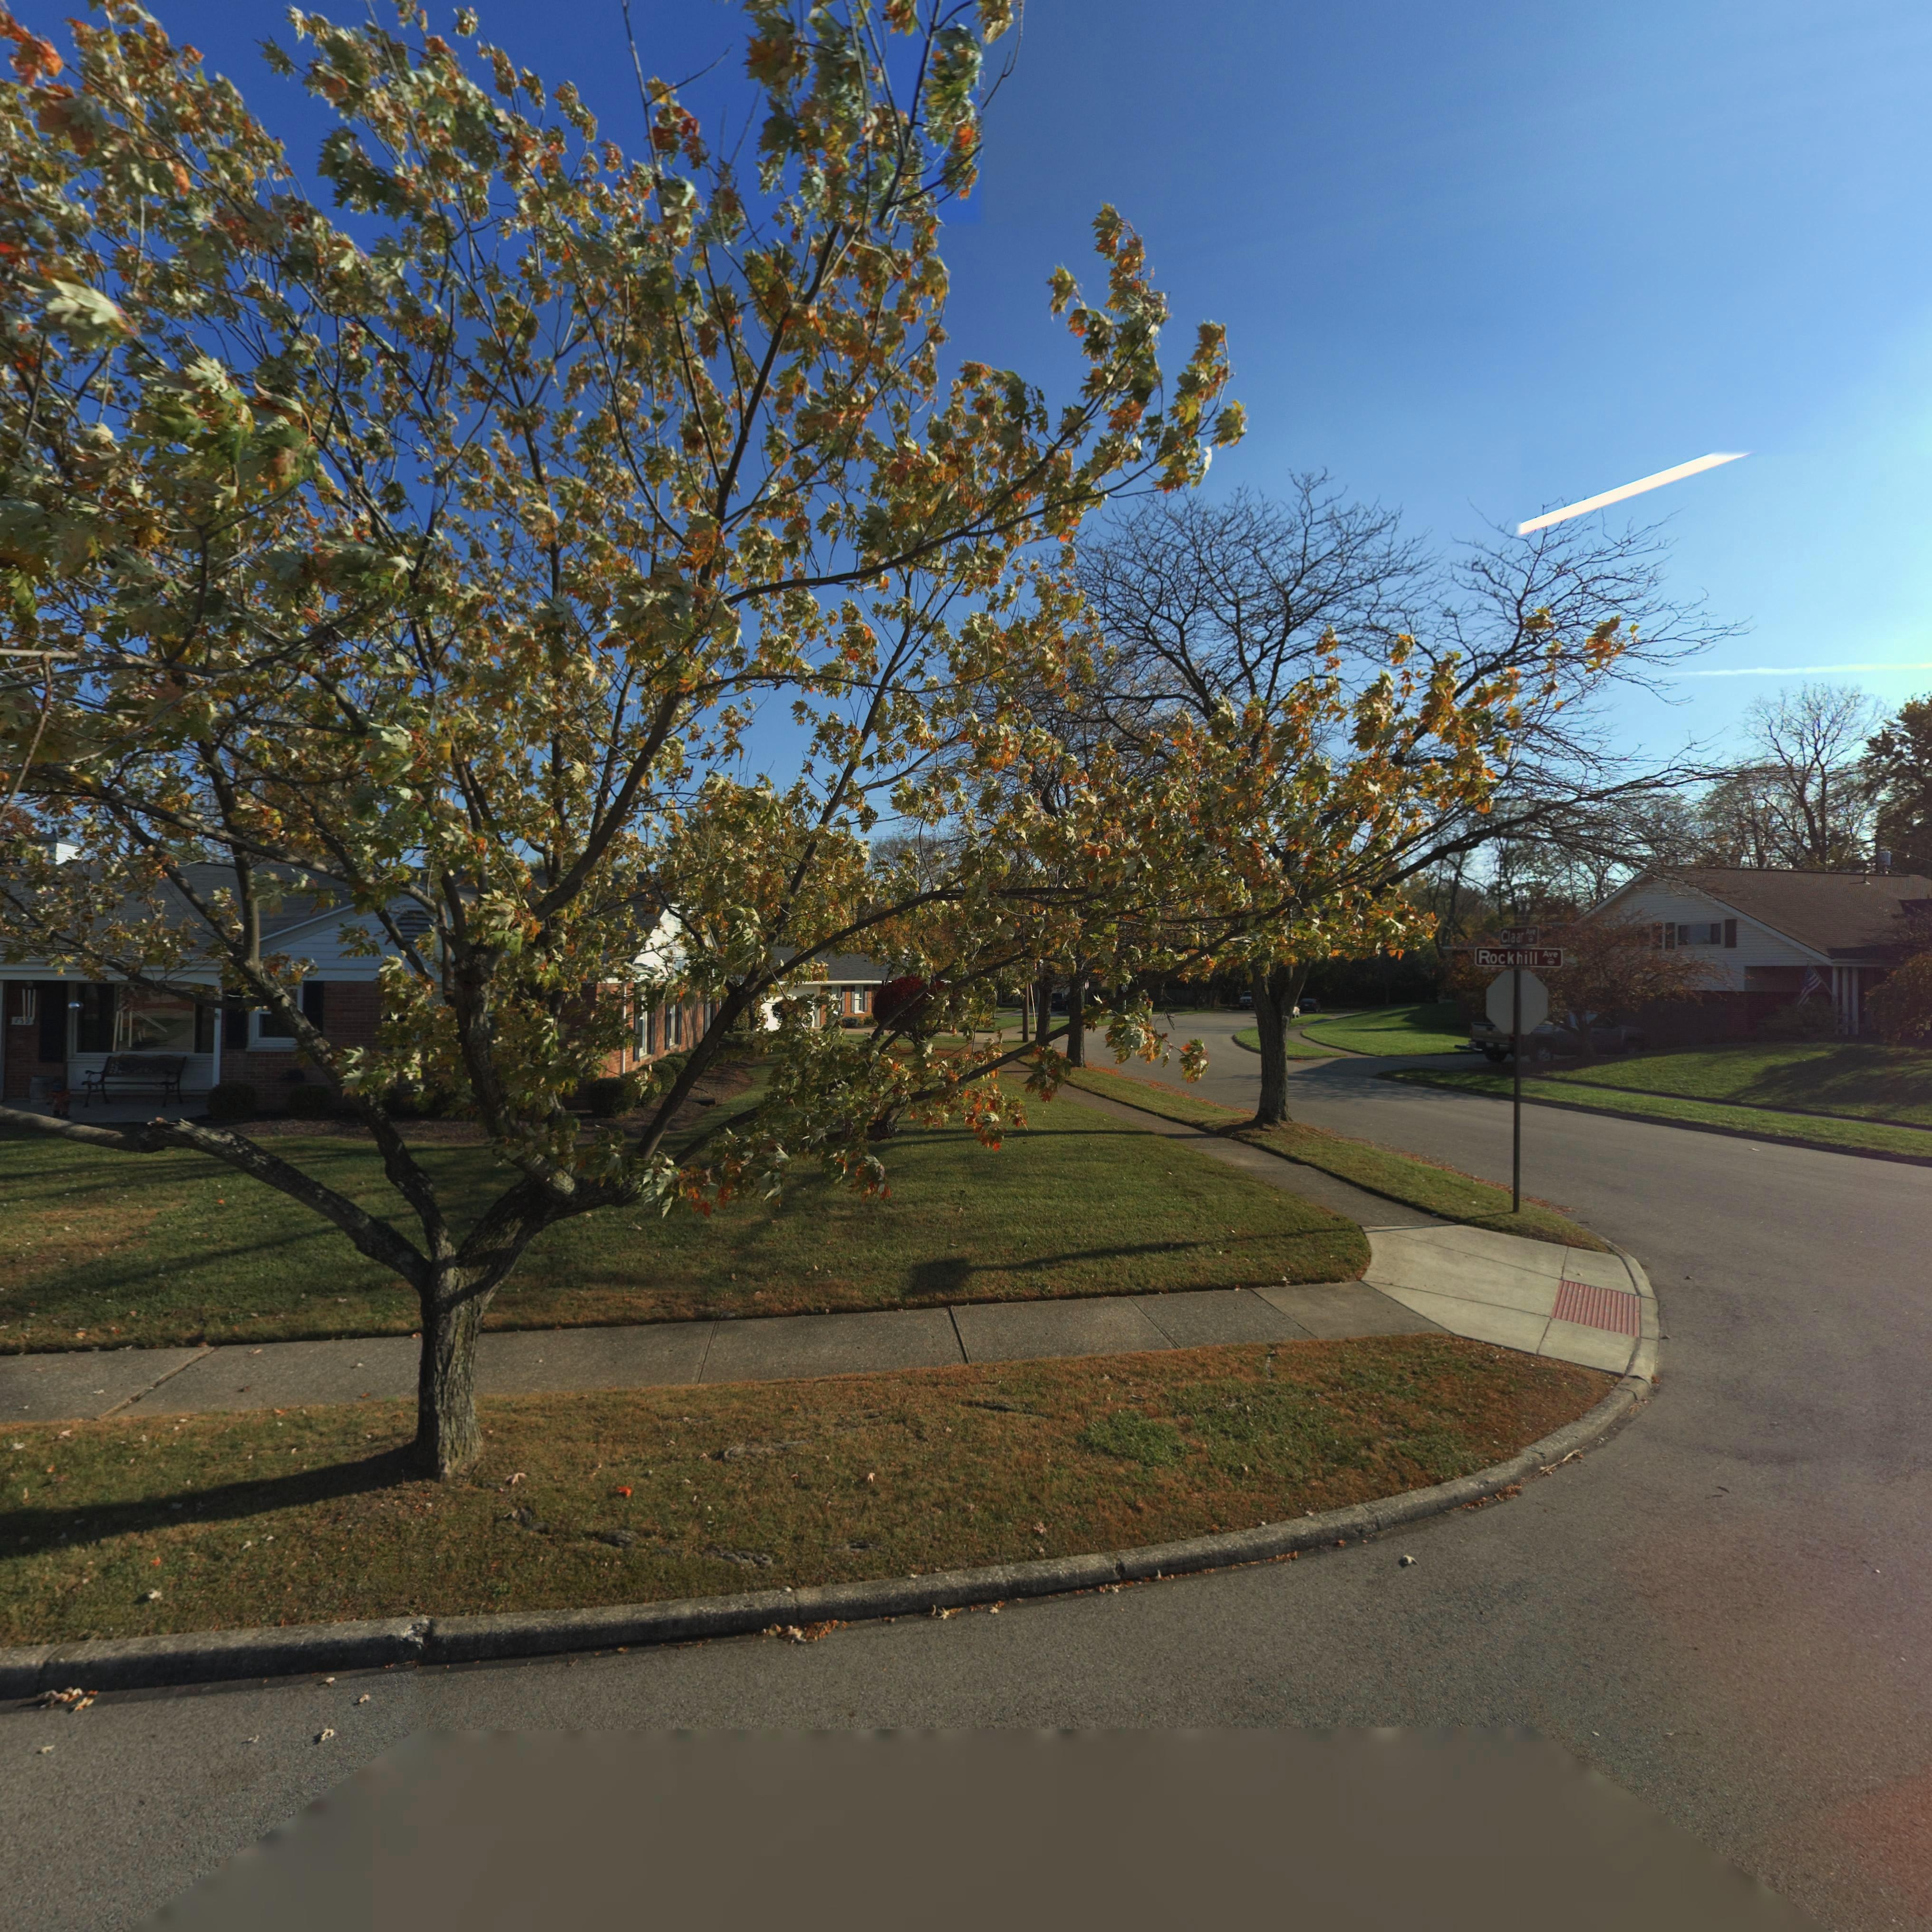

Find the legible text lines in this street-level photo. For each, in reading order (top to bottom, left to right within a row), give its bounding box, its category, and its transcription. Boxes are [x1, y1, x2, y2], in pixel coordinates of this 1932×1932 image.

[1500, 927, 1536, 944] StreetName: CLaa* Ave
[1477, 949, 1559, 966] StreetName: Rockhill Ave
[14, 1017, 29, 1024] StreetNumber: 750